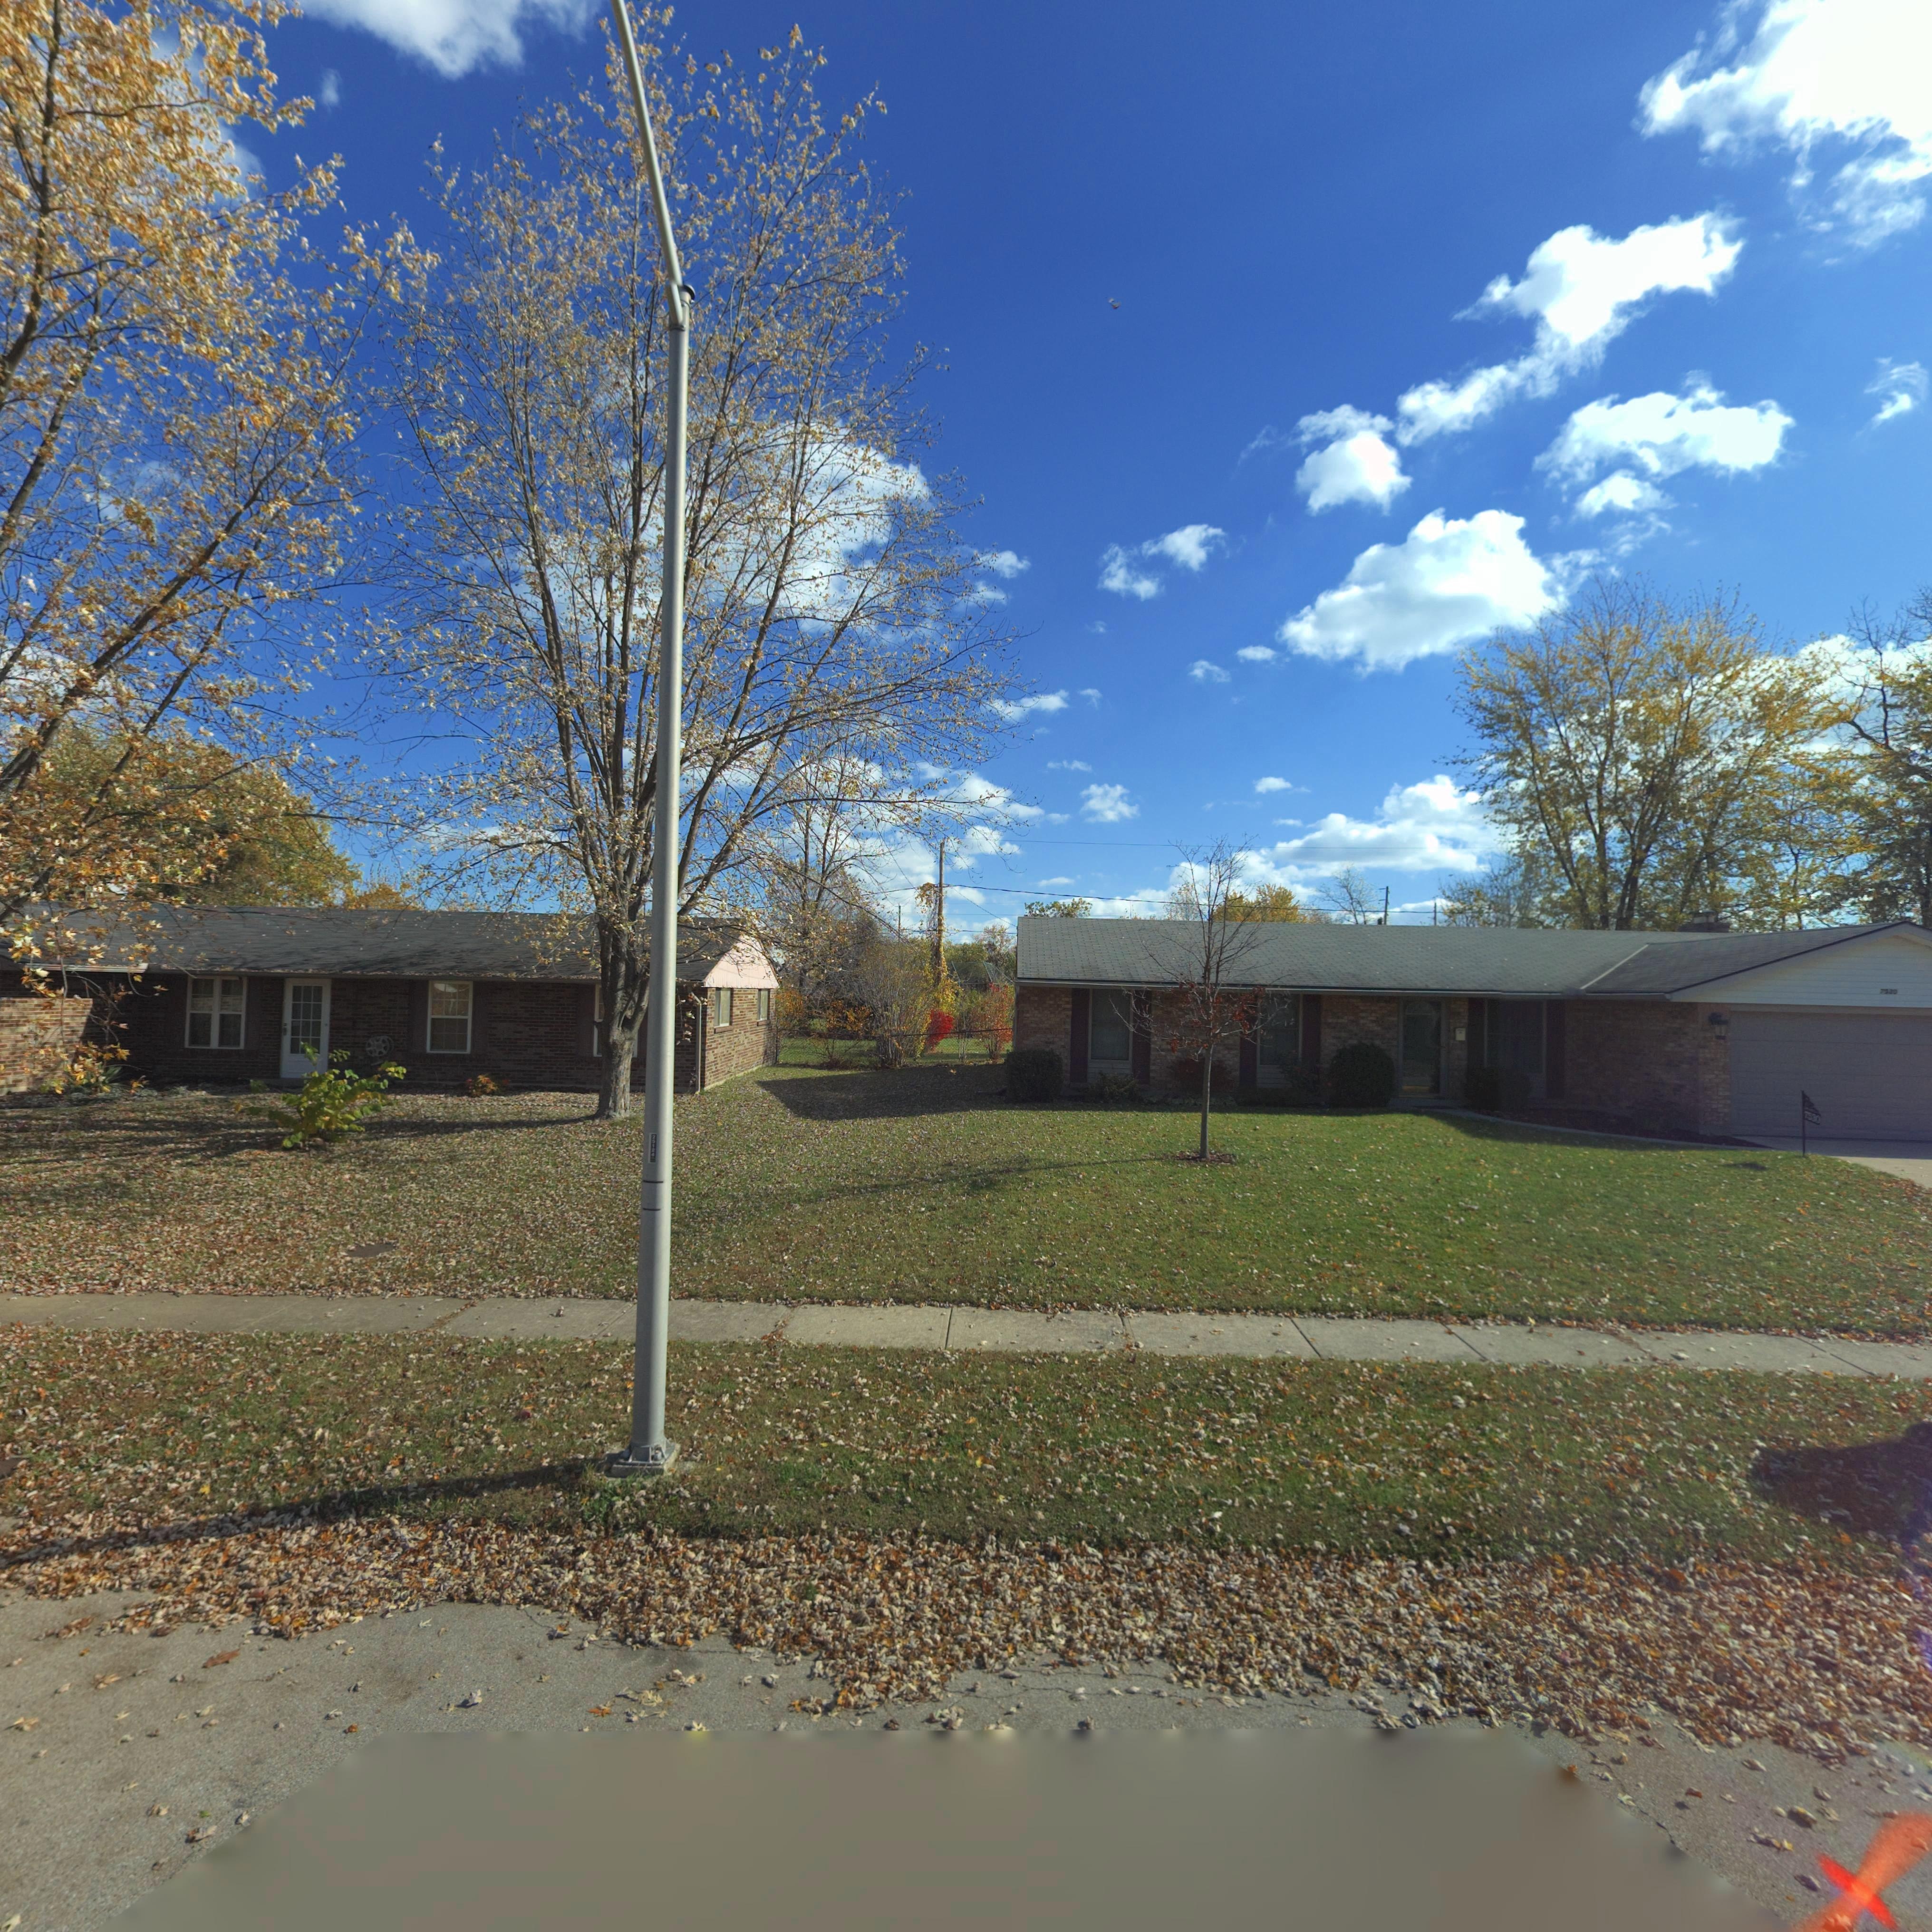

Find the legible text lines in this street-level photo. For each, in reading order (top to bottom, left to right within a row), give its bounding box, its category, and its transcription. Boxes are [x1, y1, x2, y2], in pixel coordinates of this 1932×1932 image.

[1878, 987, 1899, 995] StreetNumber: ***0
[1803, 1109, 1822, 1126] StreetNumber: 7530